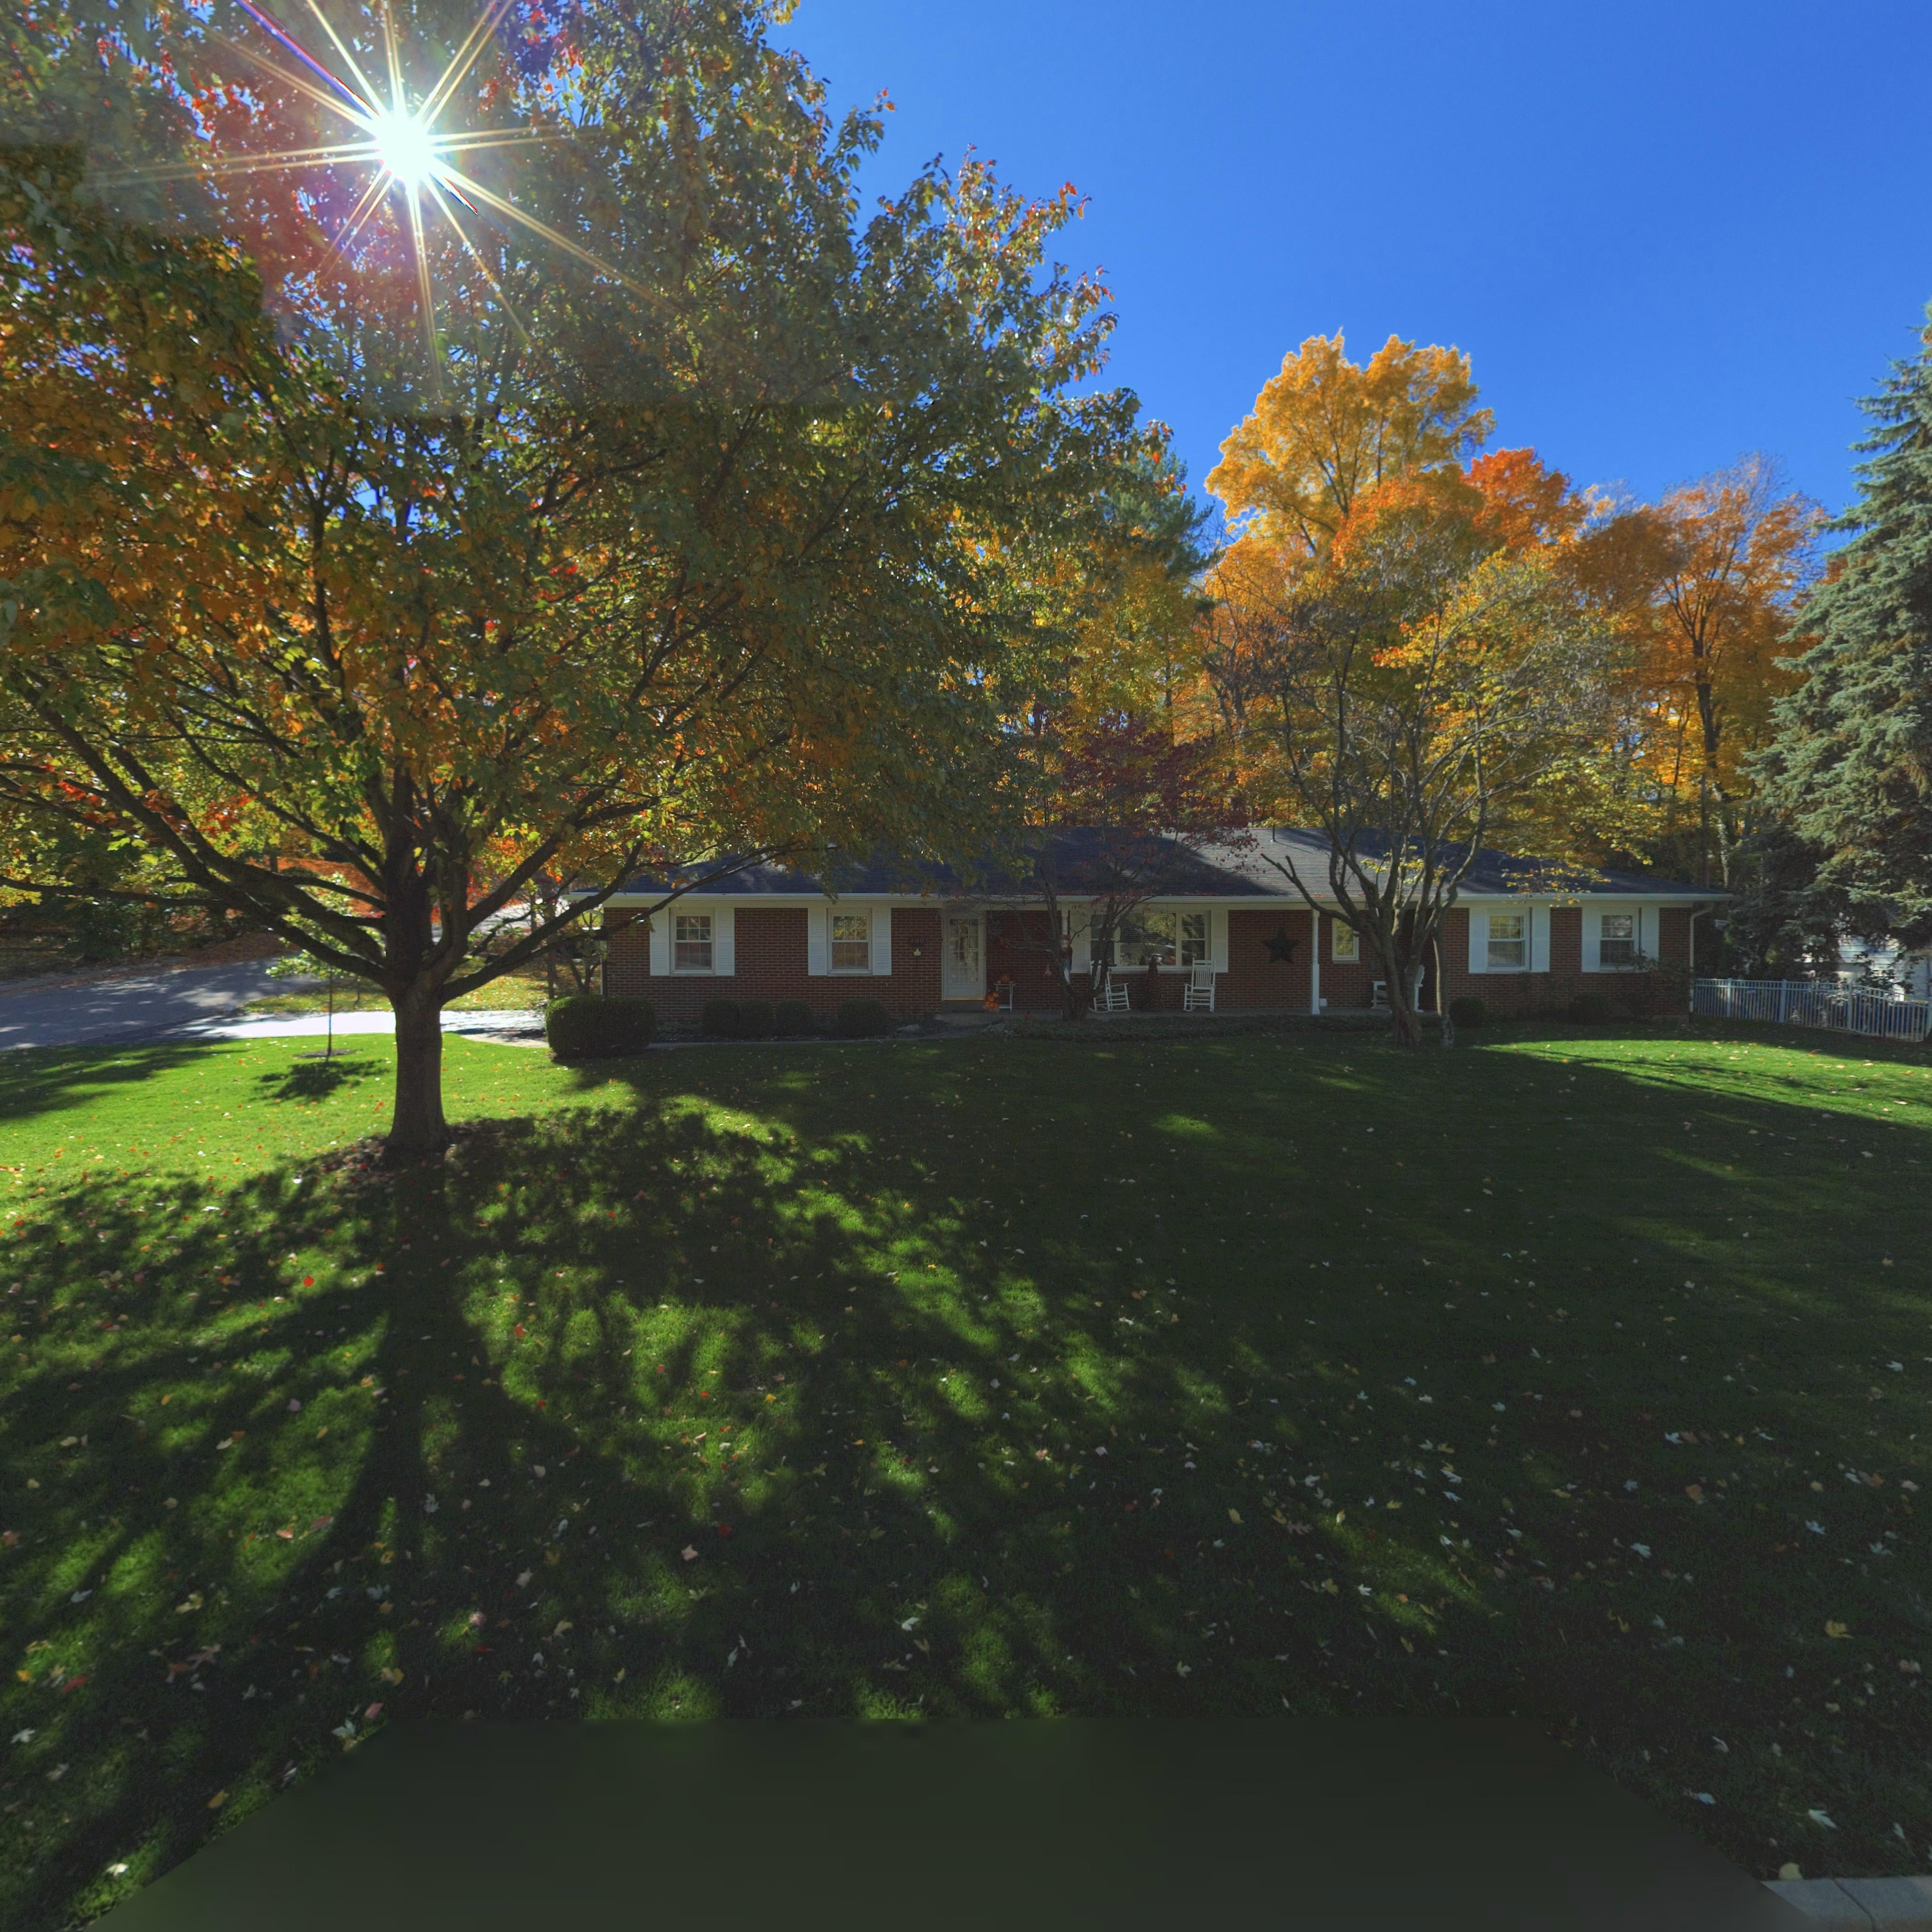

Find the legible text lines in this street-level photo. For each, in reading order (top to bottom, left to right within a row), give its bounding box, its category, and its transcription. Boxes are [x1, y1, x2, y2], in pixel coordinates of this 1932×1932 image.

[909, 937, 925, 944] StreetNumber: 400